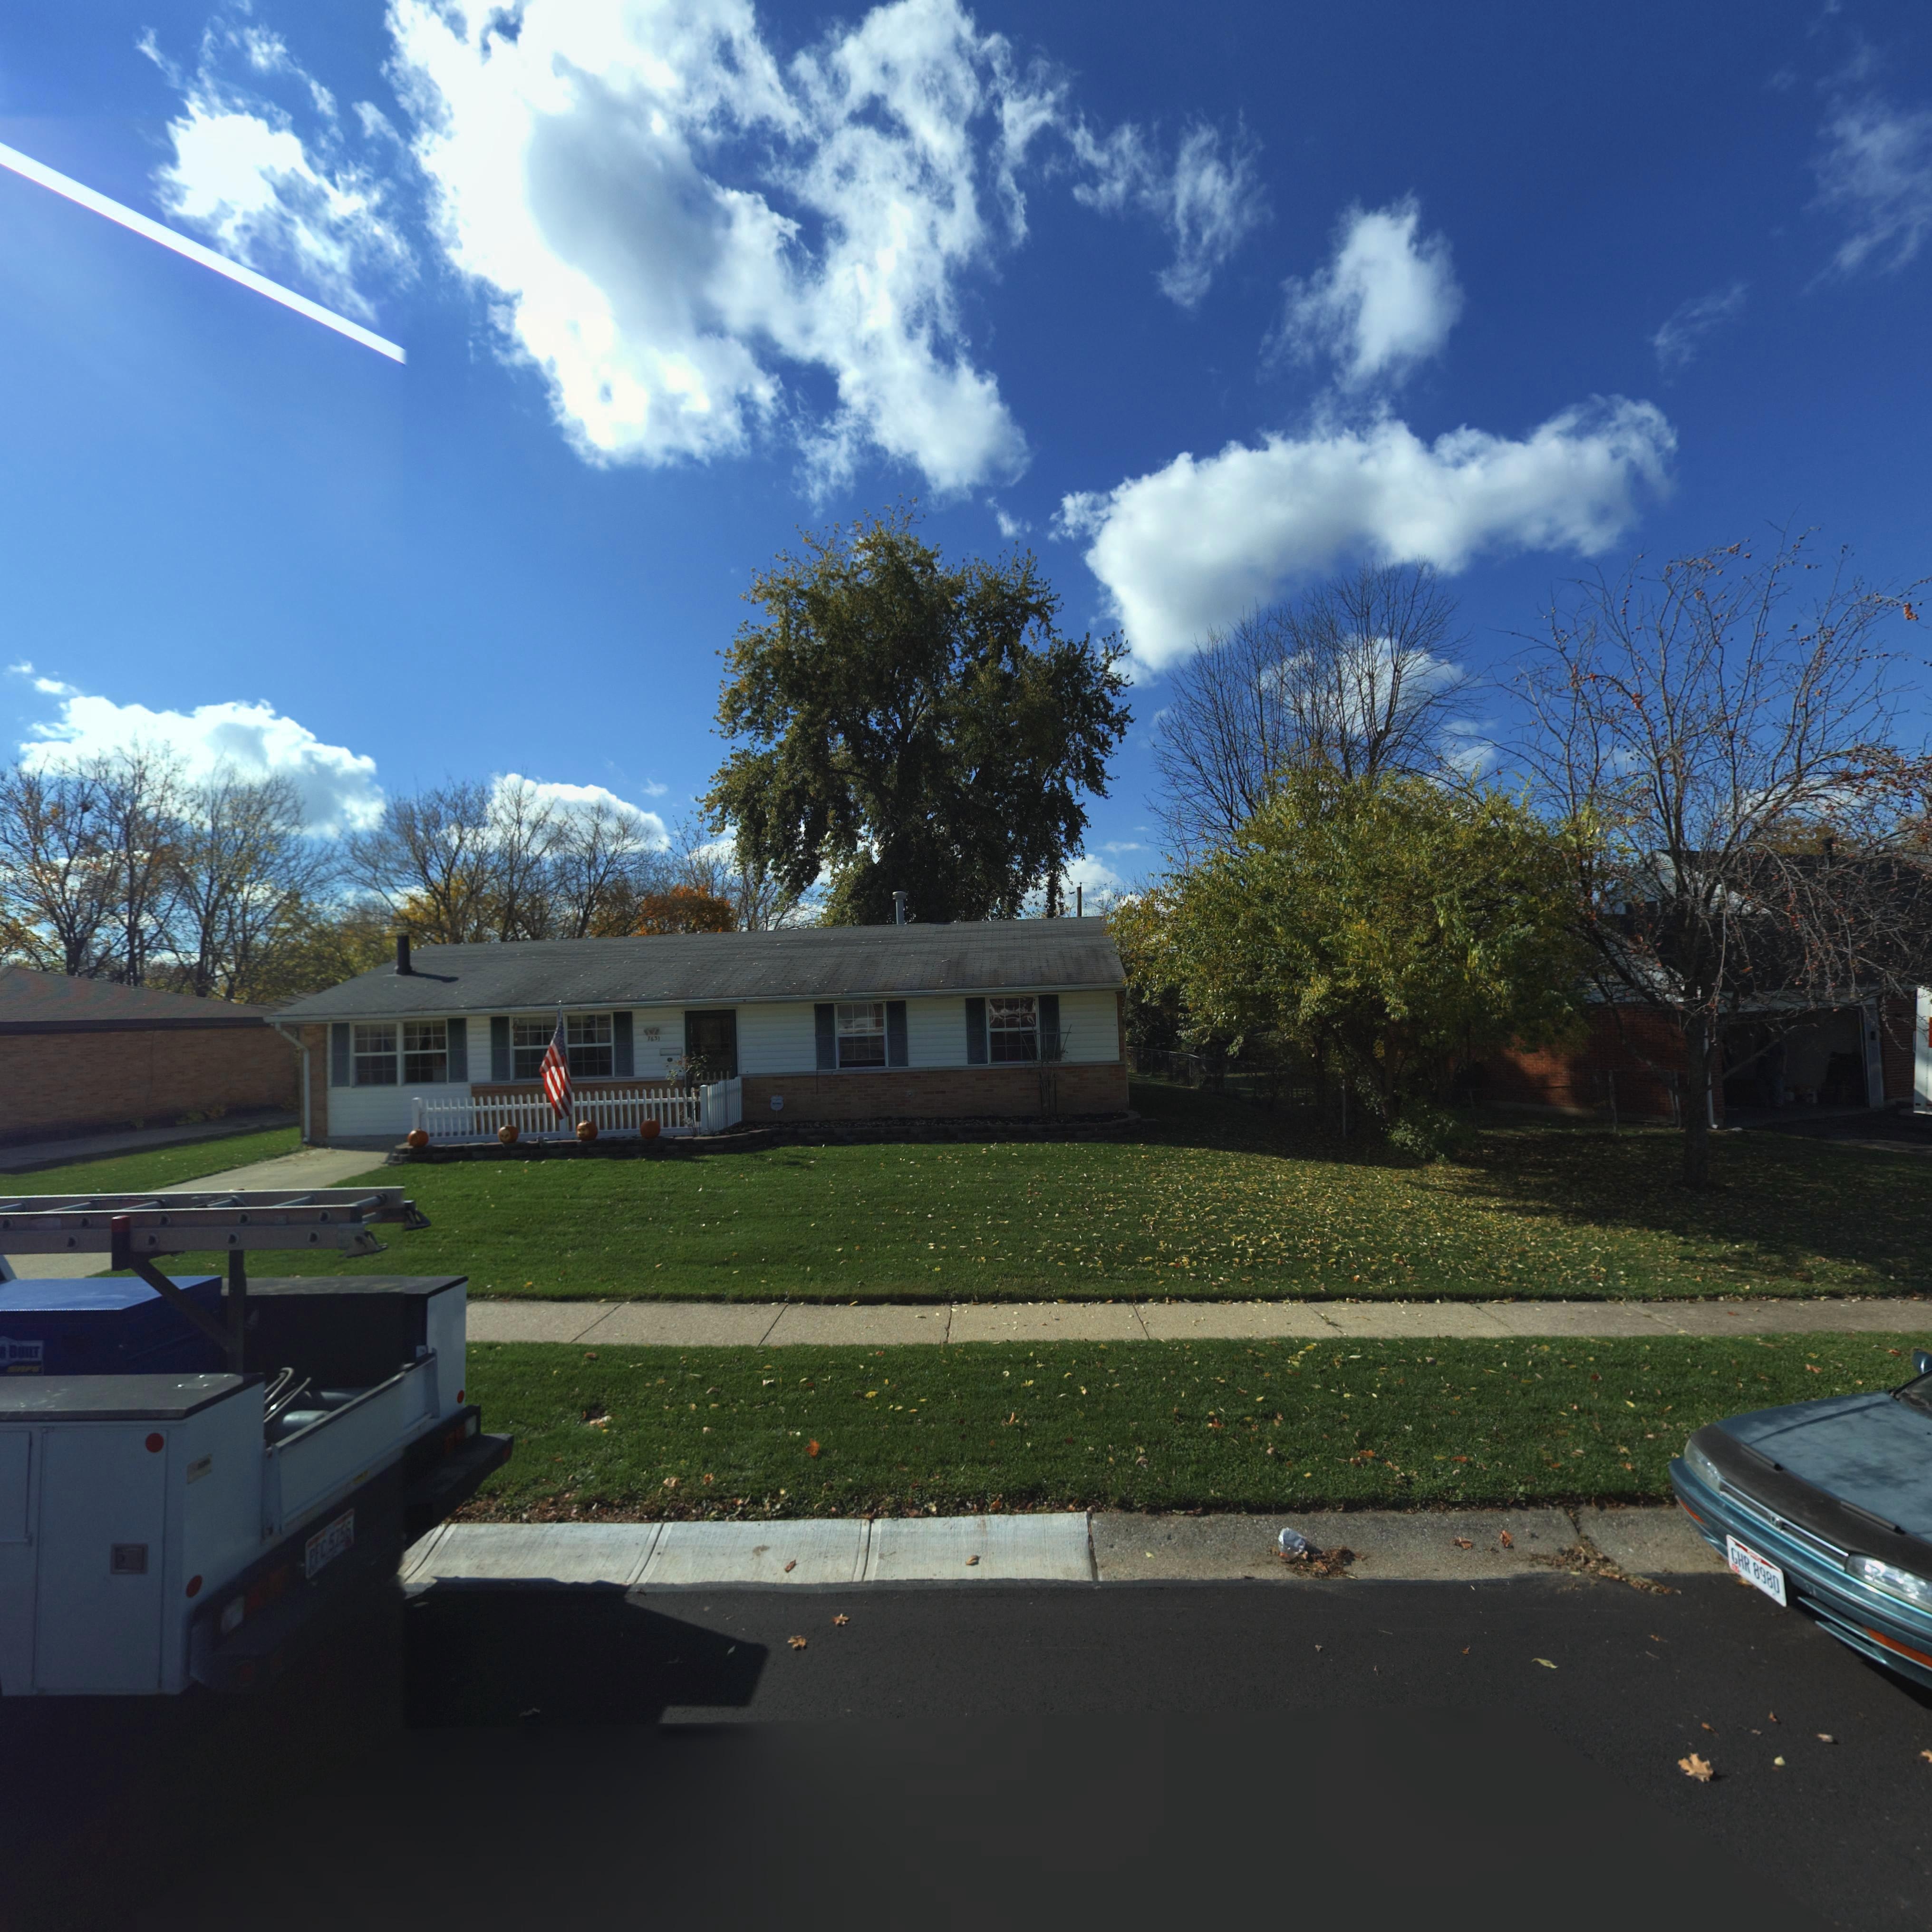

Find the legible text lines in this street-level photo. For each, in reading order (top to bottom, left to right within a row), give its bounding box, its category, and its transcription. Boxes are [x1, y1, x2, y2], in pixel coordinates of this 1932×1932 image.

[647, 1035, 660, 1042] StreetNumber: 7631